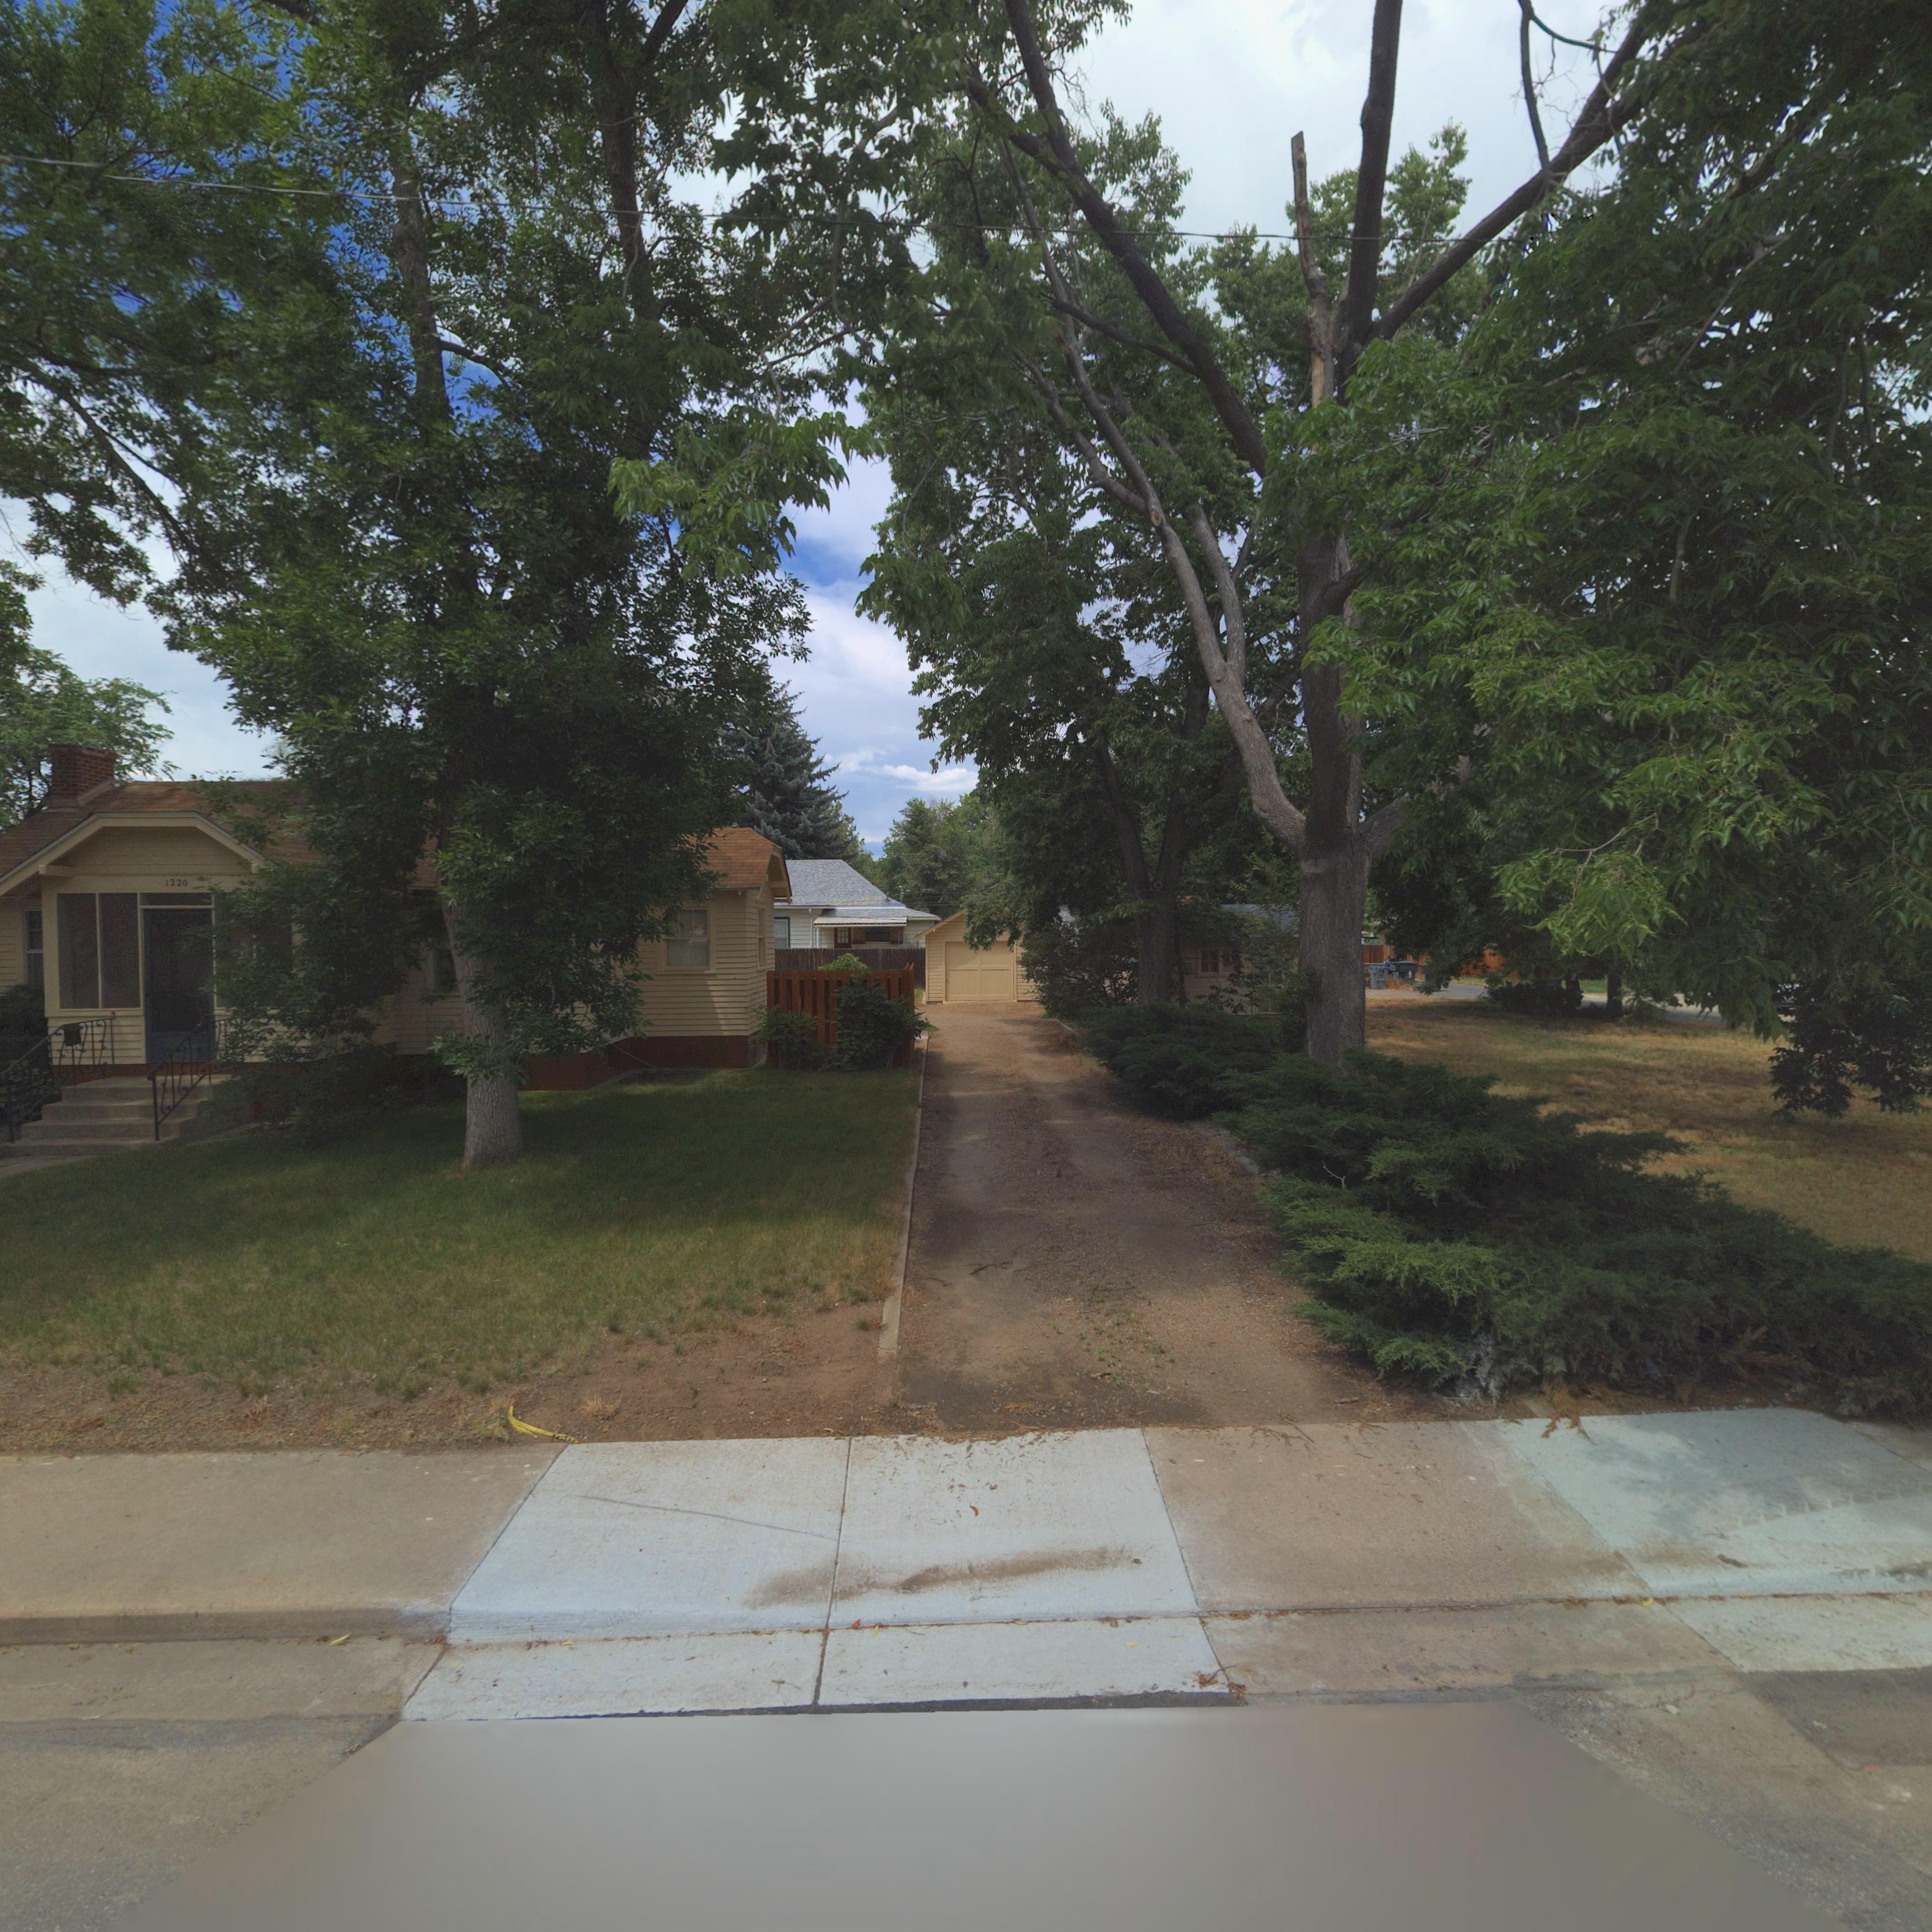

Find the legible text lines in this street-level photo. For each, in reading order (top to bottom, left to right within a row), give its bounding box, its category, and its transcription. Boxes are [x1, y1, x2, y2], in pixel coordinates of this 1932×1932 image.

[164, 878, 188, 887] StreetNumber: 1220